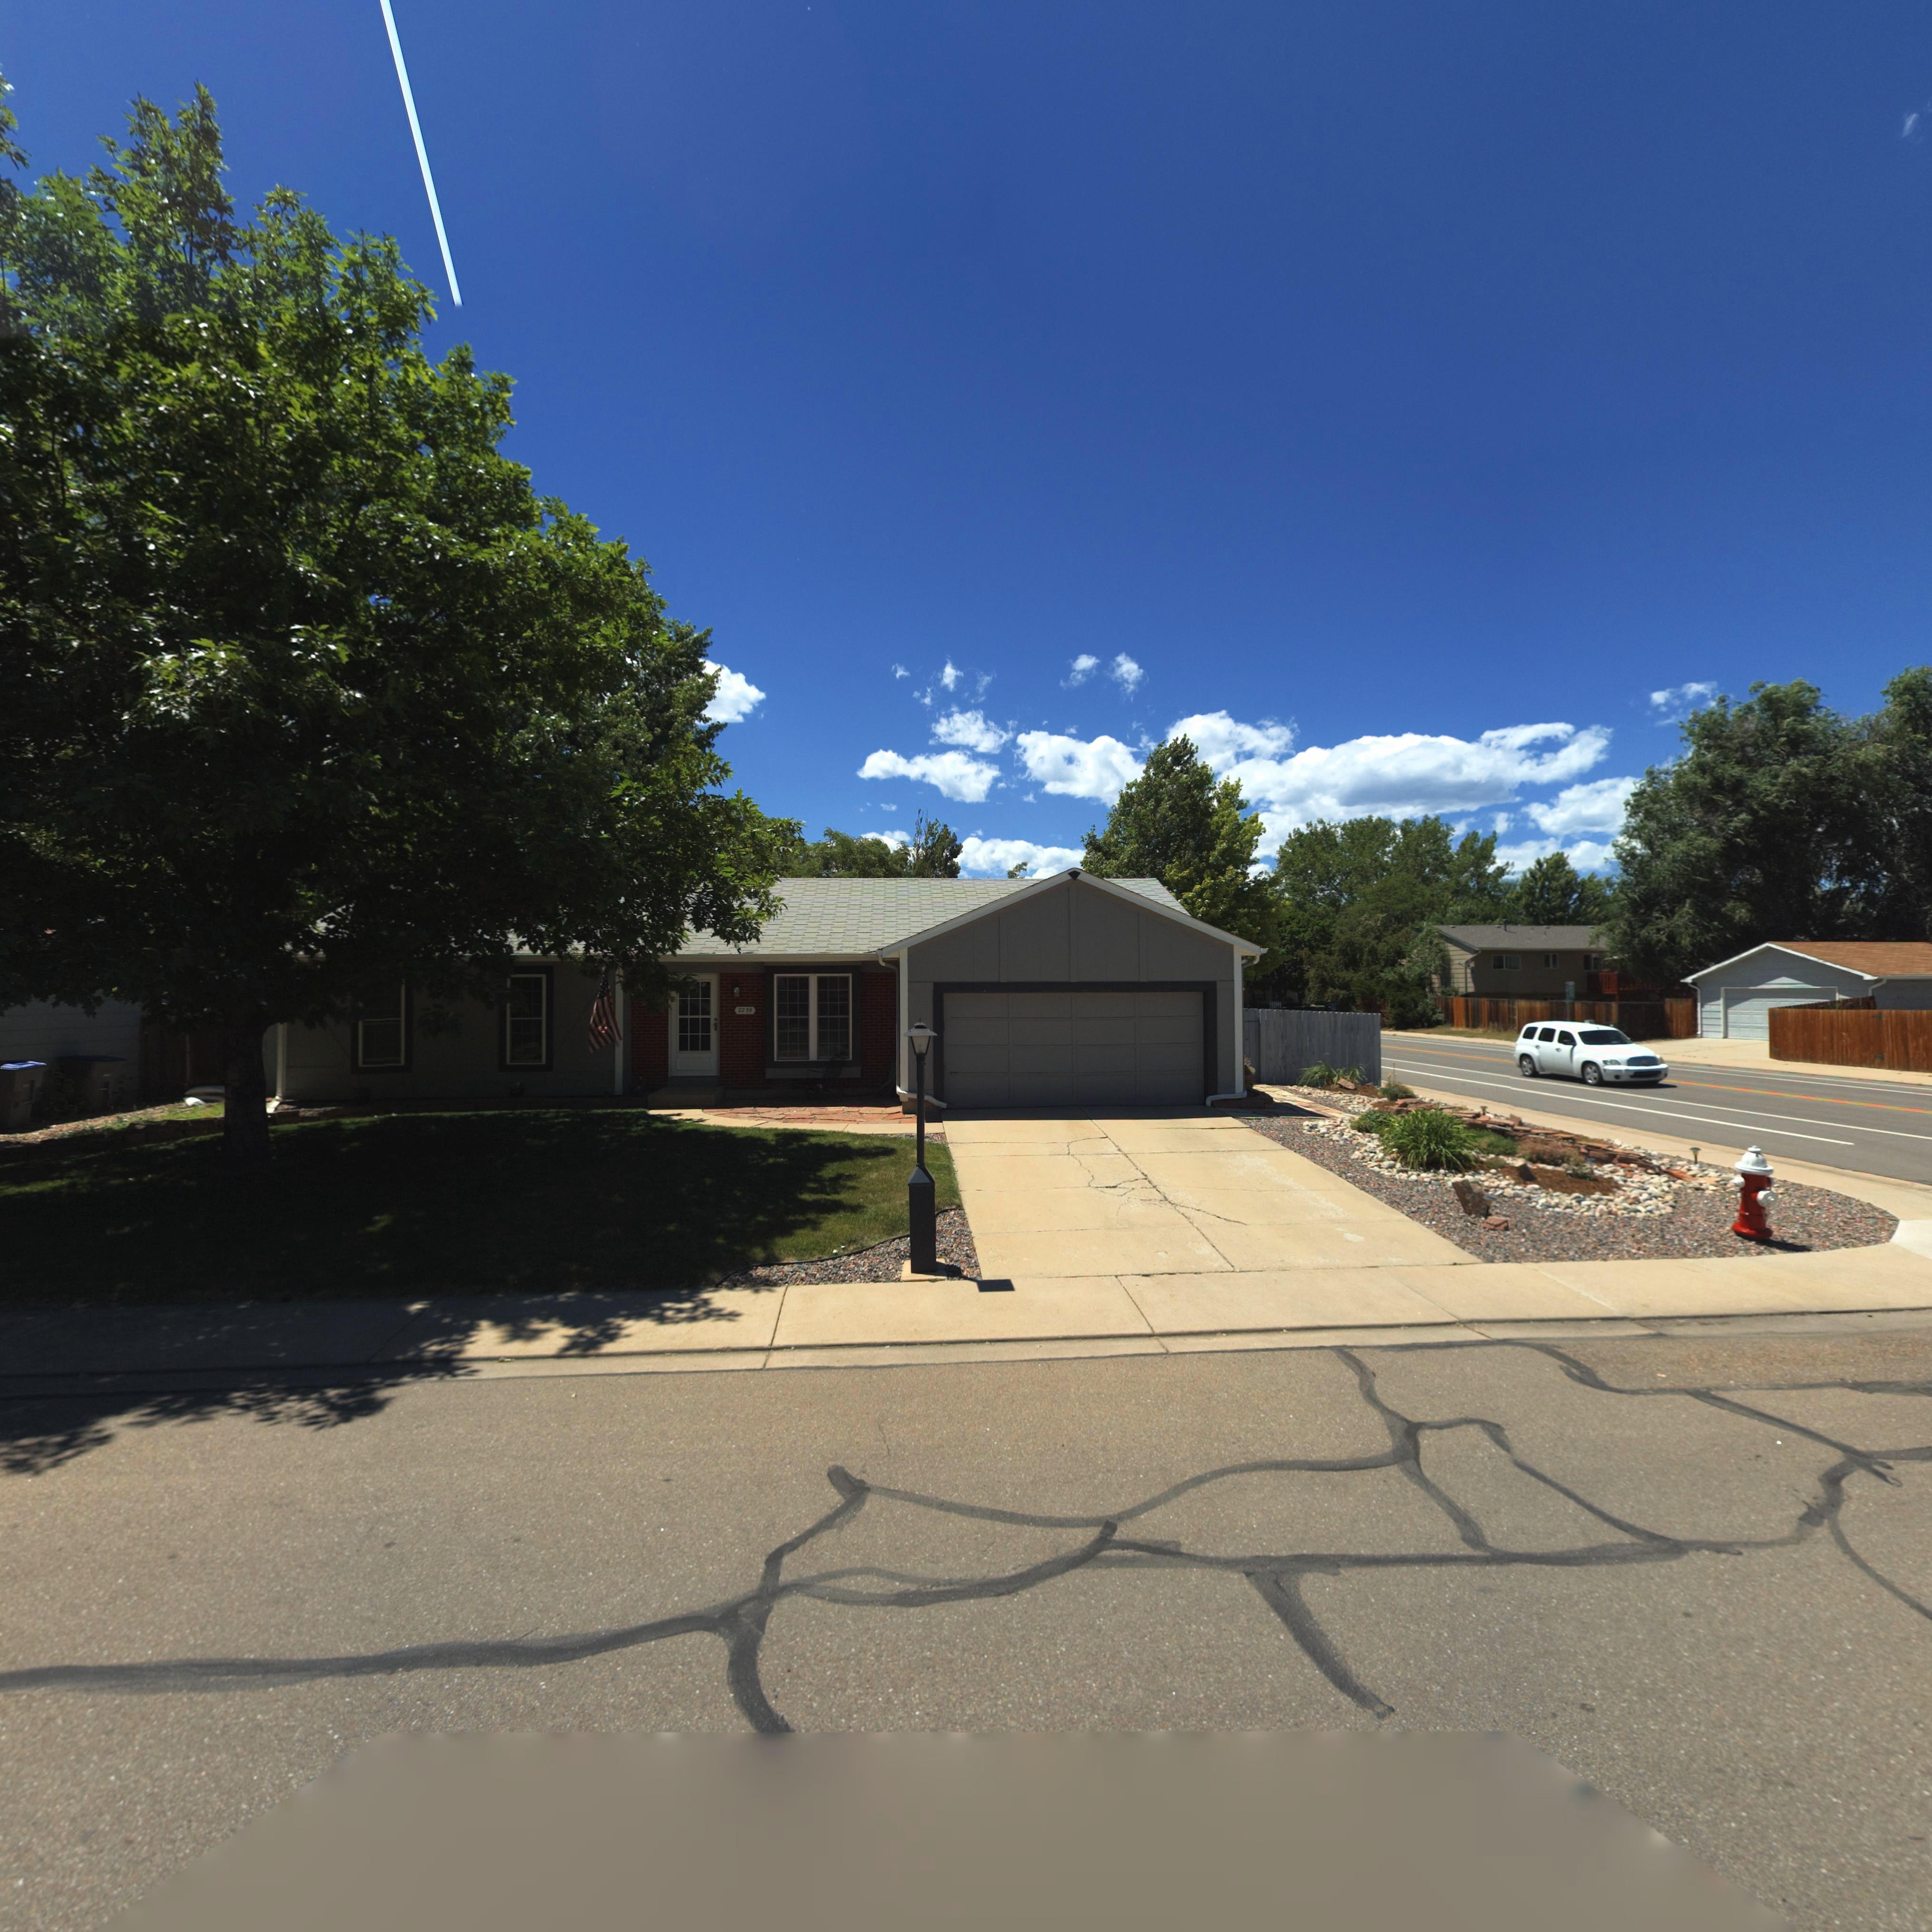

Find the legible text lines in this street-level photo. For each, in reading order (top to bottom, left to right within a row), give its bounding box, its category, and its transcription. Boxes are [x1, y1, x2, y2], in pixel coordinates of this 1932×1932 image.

[737, 1007, 752, 1013] StreetNumber: 2239